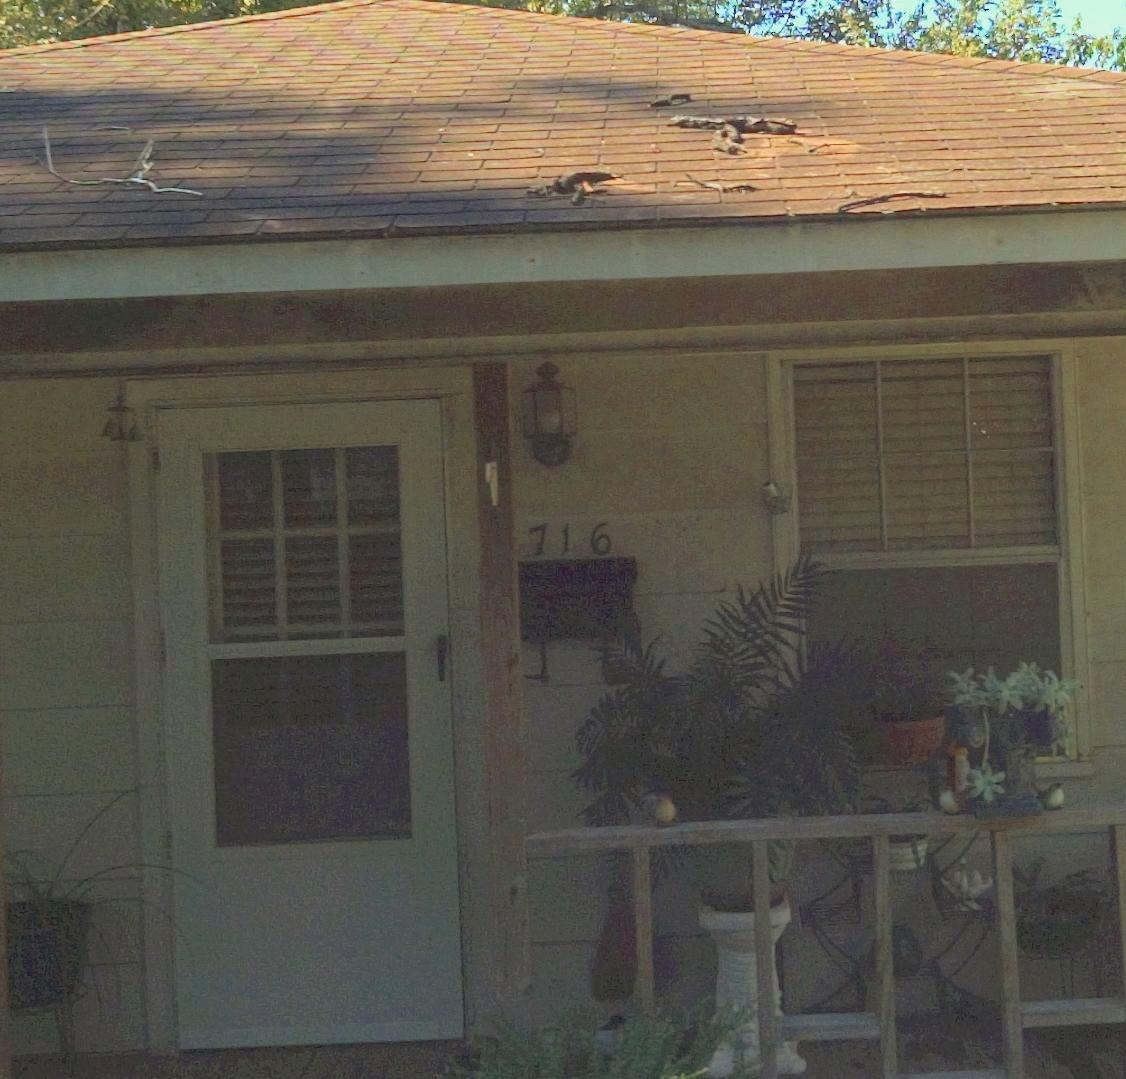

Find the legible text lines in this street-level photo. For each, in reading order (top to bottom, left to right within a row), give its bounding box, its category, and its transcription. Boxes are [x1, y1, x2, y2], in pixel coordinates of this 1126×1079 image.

[526, 517, 616, 559] StreetNumber: 716